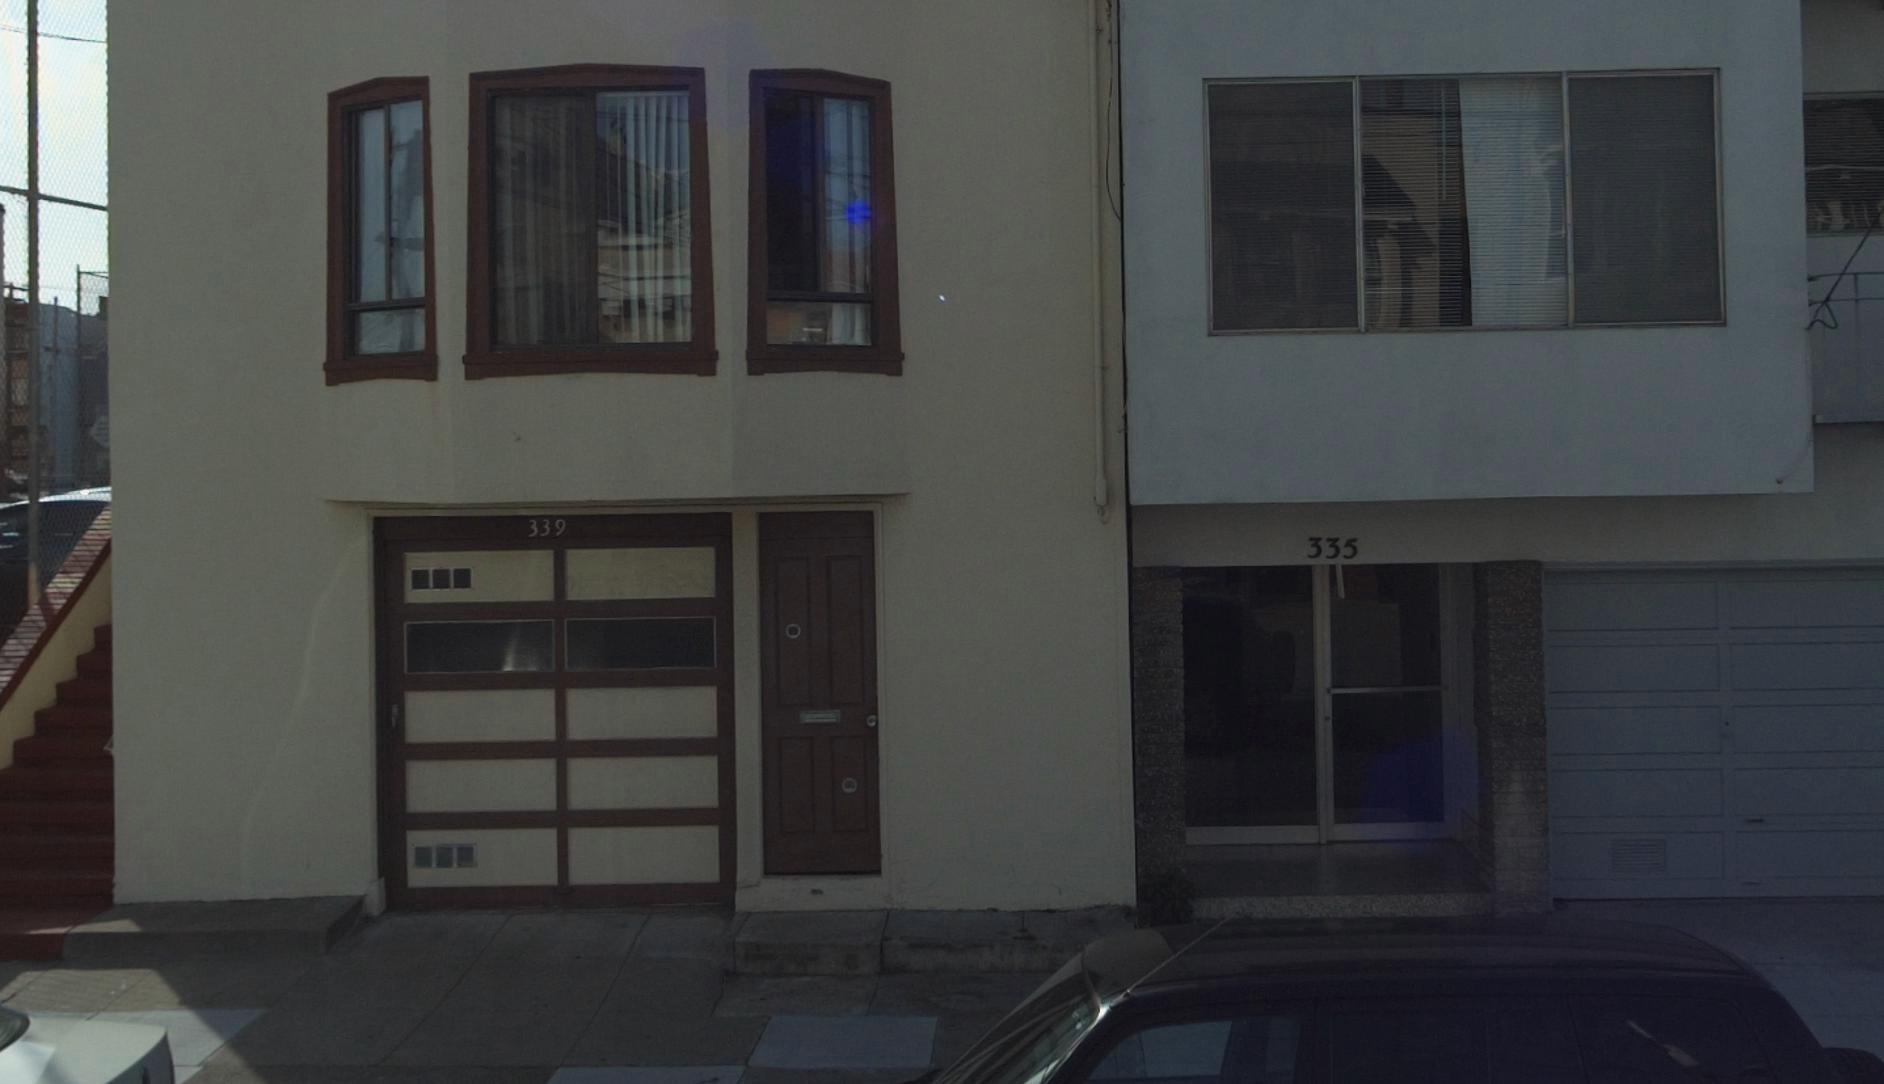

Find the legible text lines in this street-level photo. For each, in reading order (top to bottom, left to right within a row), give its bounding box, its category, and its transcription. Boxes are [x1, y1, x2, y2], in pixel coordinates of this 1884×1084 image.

[526, 517, 567, 538] StreetNumber: 339
[1305, 535, 1360, 560] StreetNumber: 335